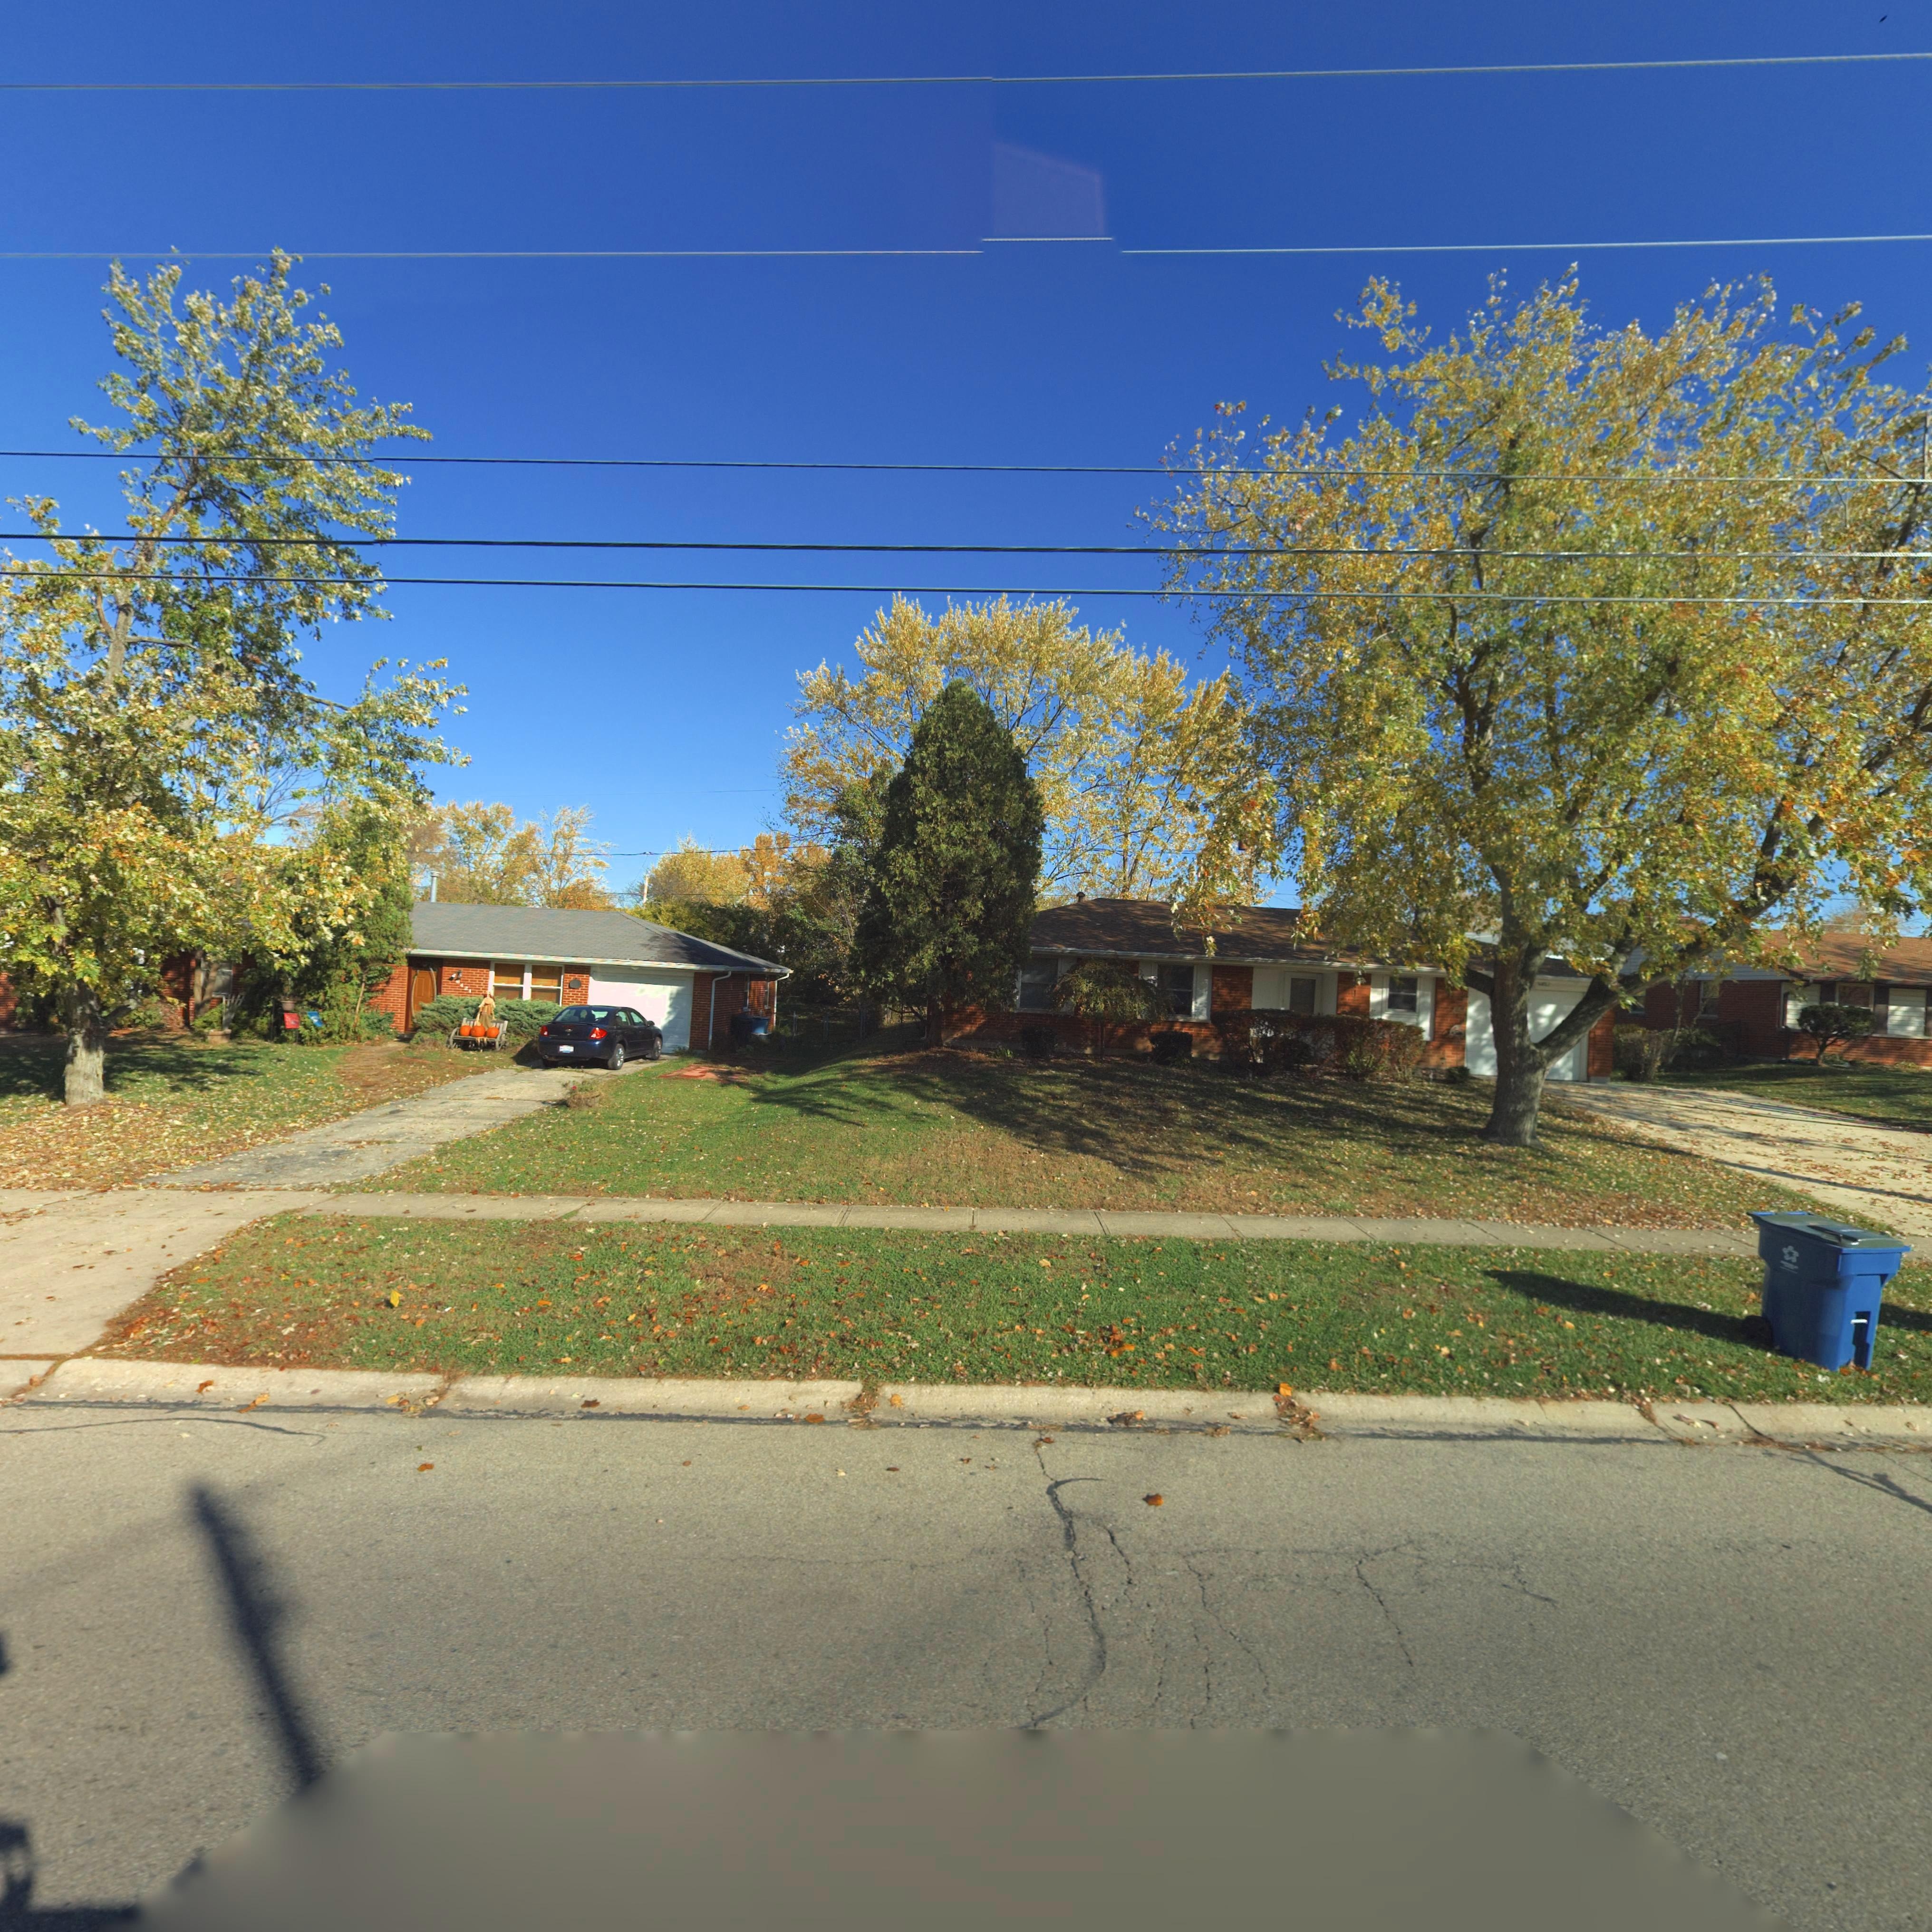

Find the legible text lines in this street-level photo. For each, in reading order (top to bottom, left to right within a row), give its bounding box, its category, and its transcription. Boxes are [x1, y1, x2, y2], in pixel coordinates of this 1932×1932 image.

[454, 978, 473, 995] StreetNumber: *421